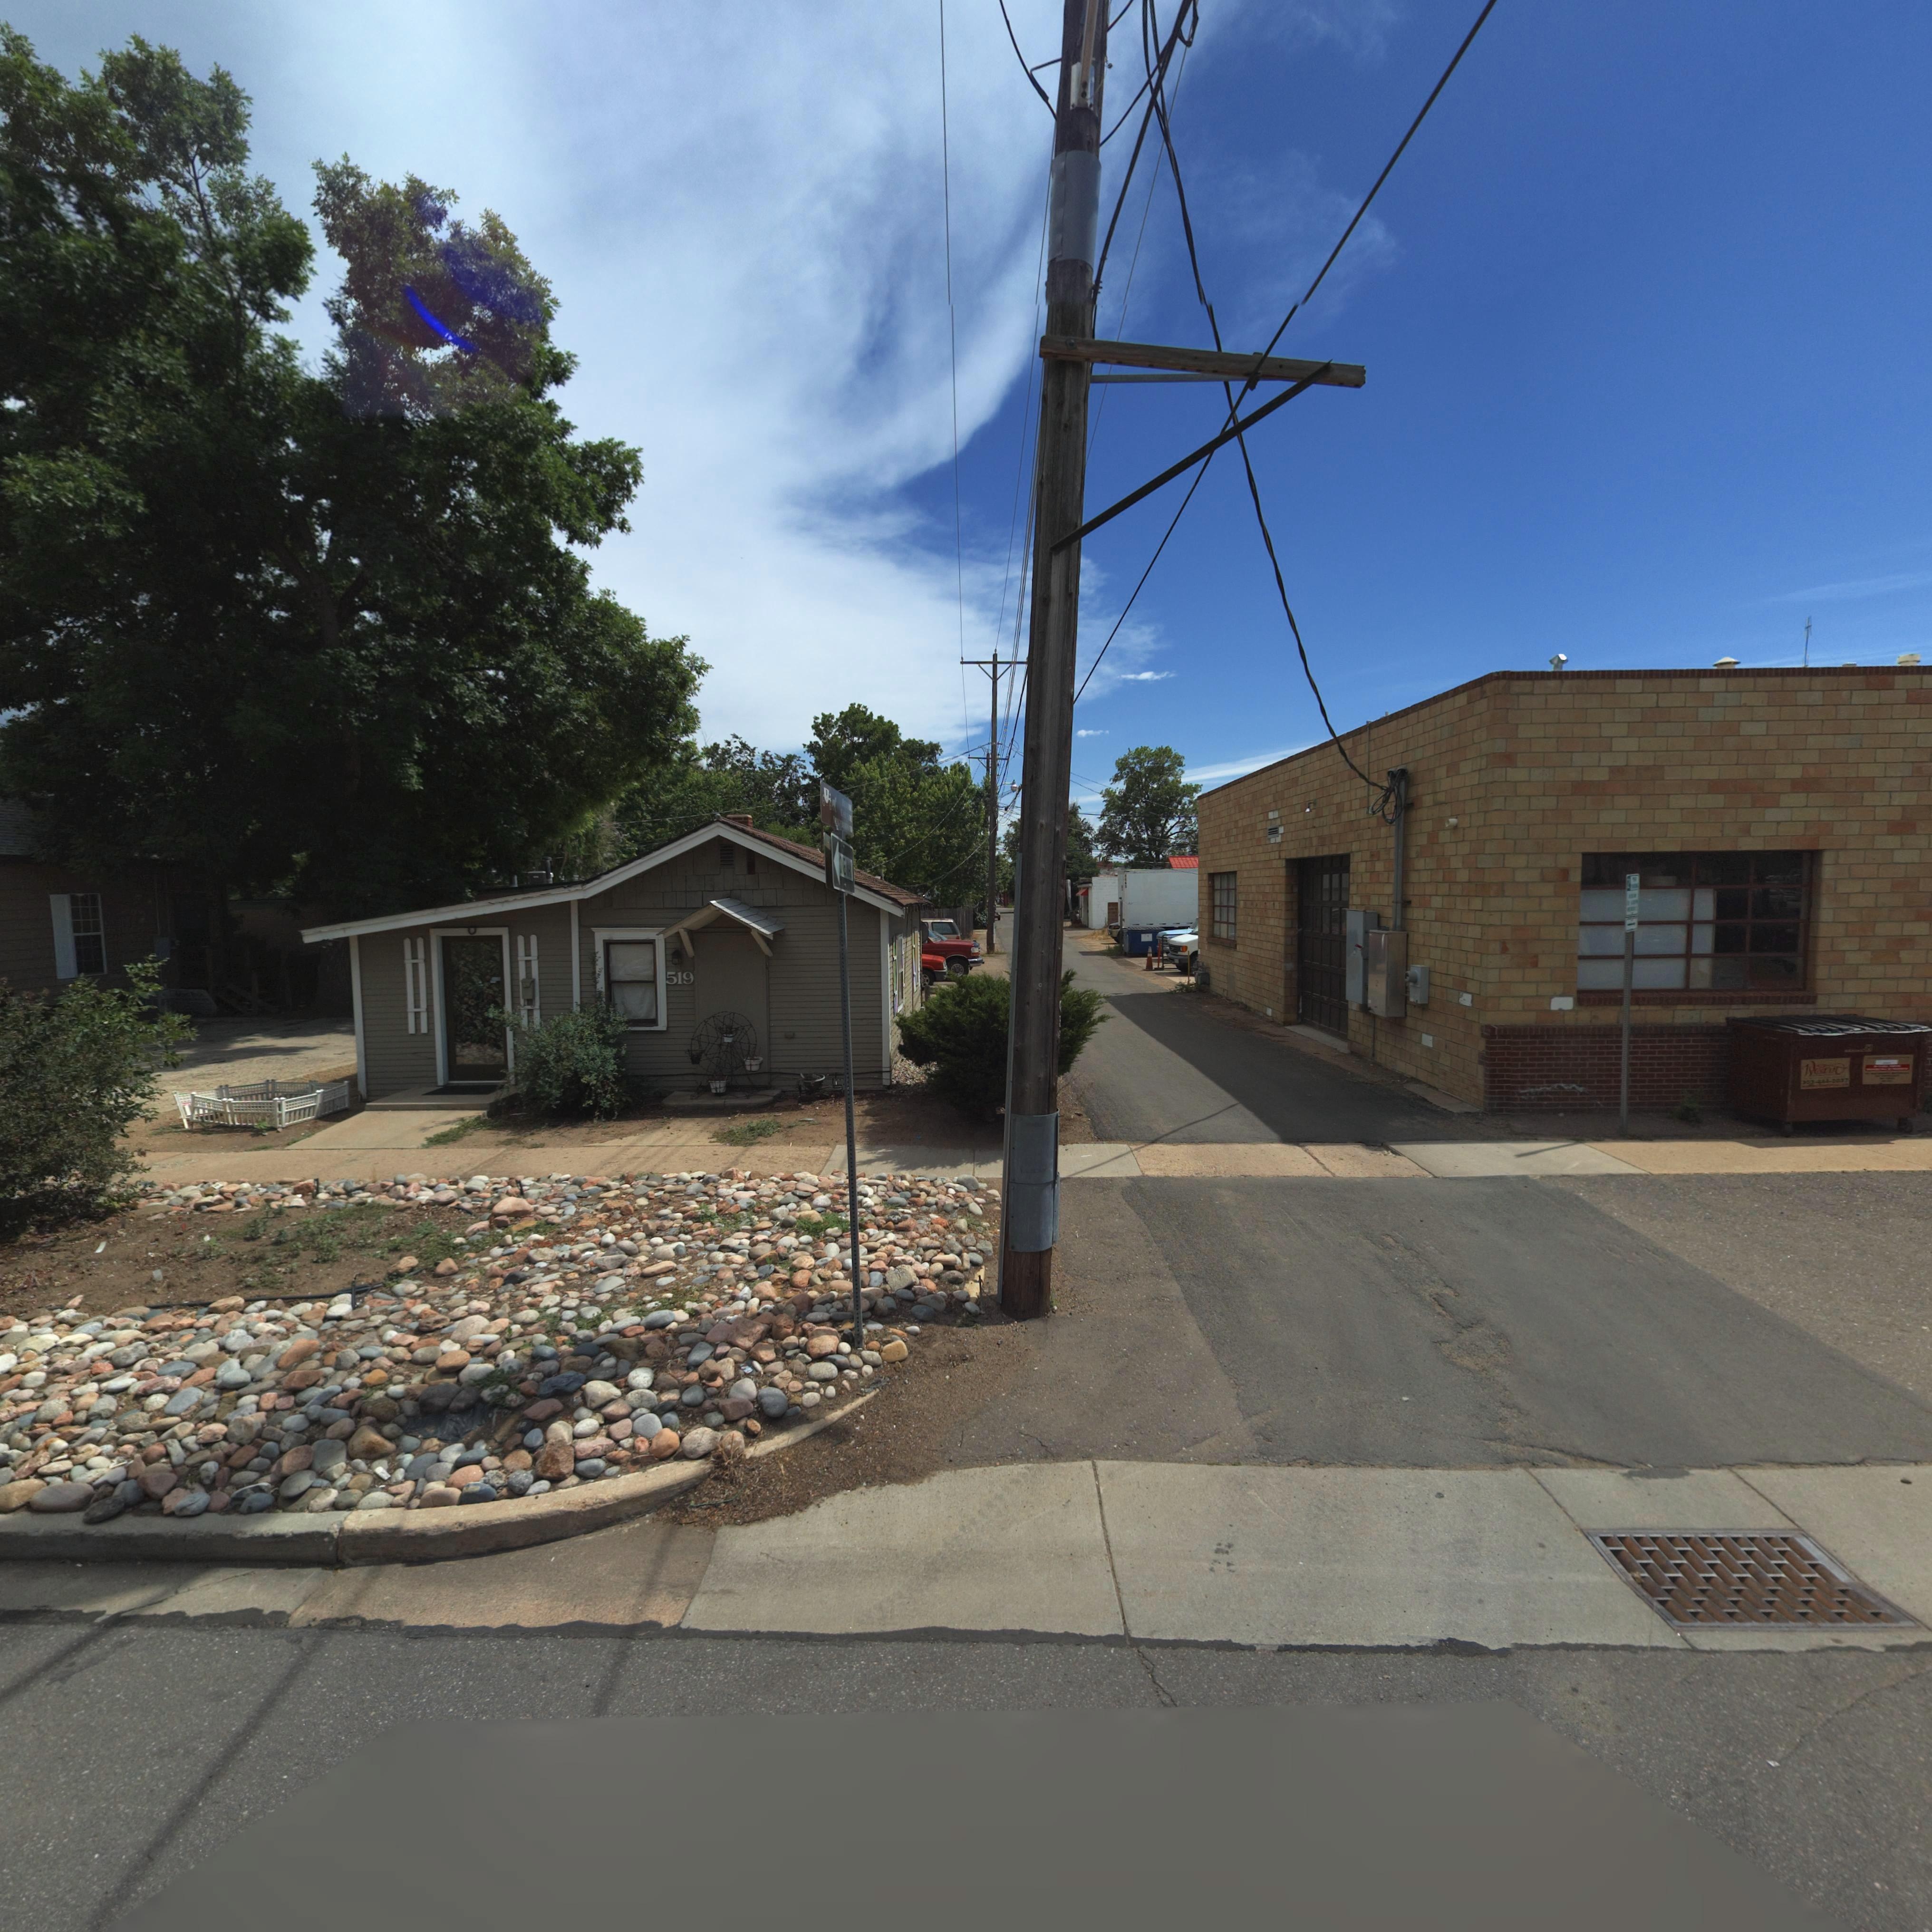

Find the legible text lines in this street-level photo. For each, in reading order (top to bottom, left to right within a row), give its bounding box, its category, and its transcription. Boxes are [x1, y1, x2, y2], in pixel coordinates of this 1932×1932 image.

[665, 971, 694, 985] StreetNumber: 519